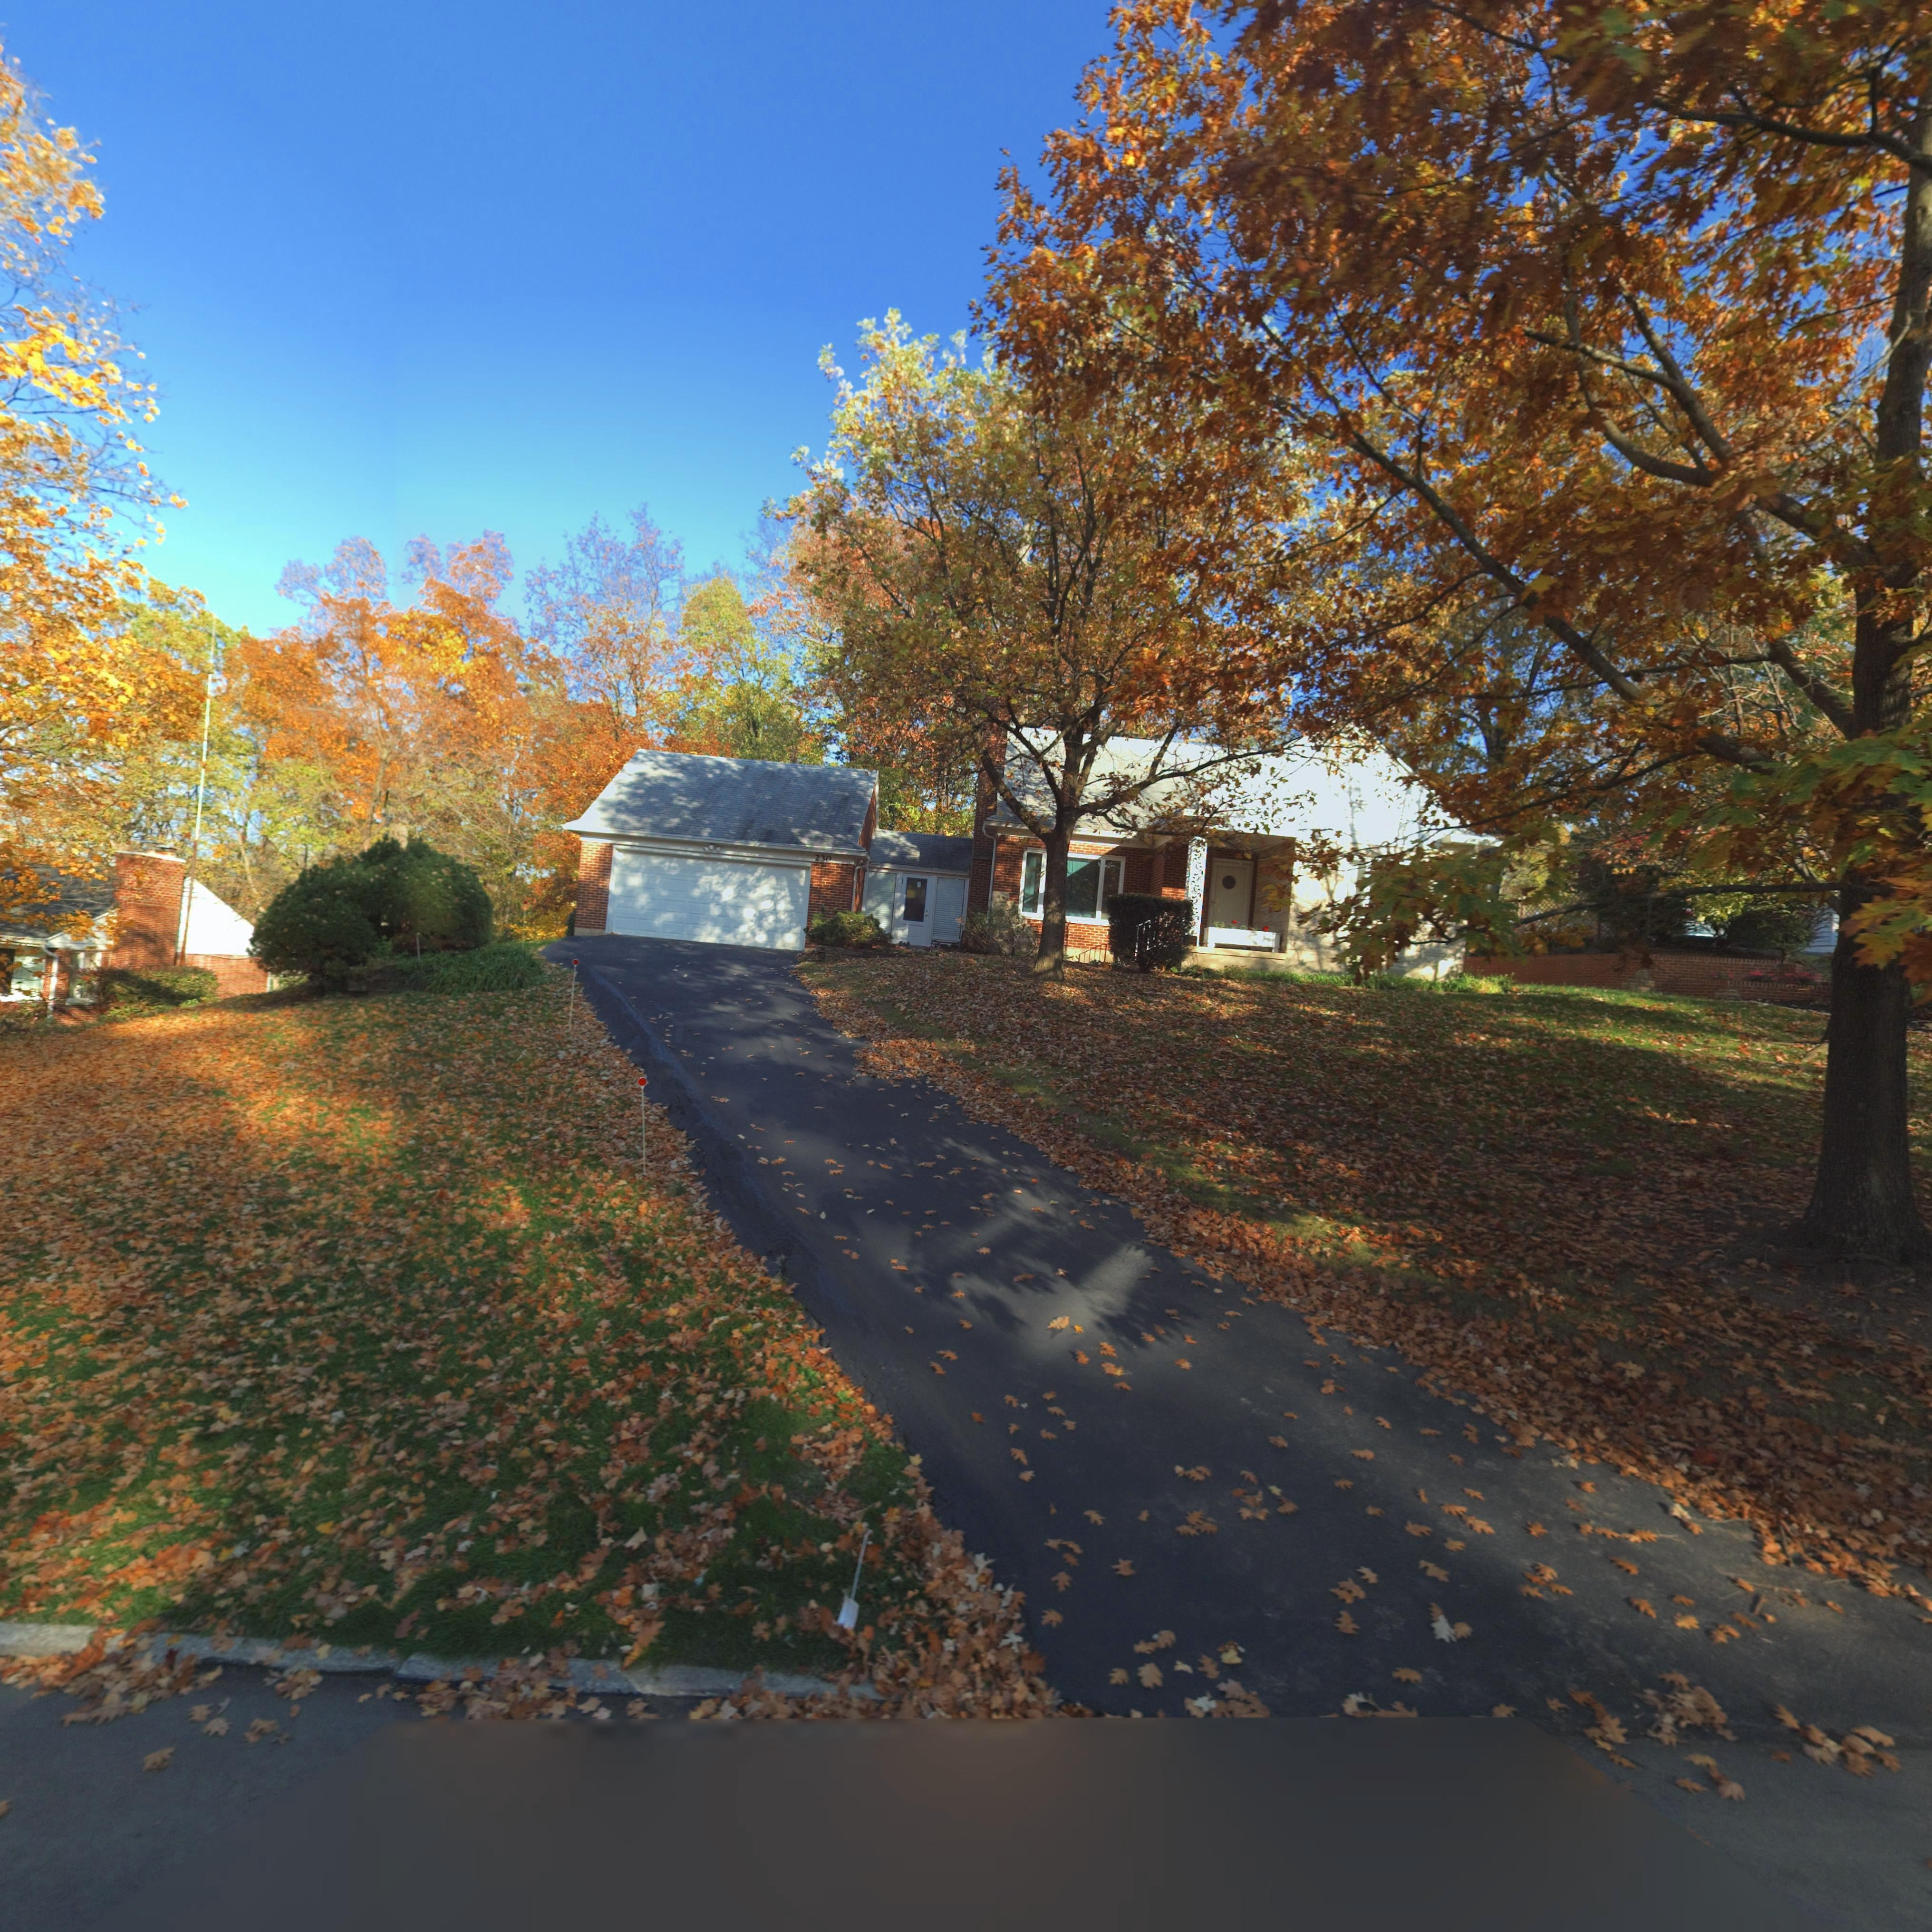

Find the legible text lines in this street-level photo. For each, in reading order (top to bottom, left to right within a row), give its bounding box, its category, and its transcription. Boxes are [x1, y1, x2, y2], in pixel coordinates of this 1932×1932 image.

[814, 853, 832, 864] StreetNumber: 230